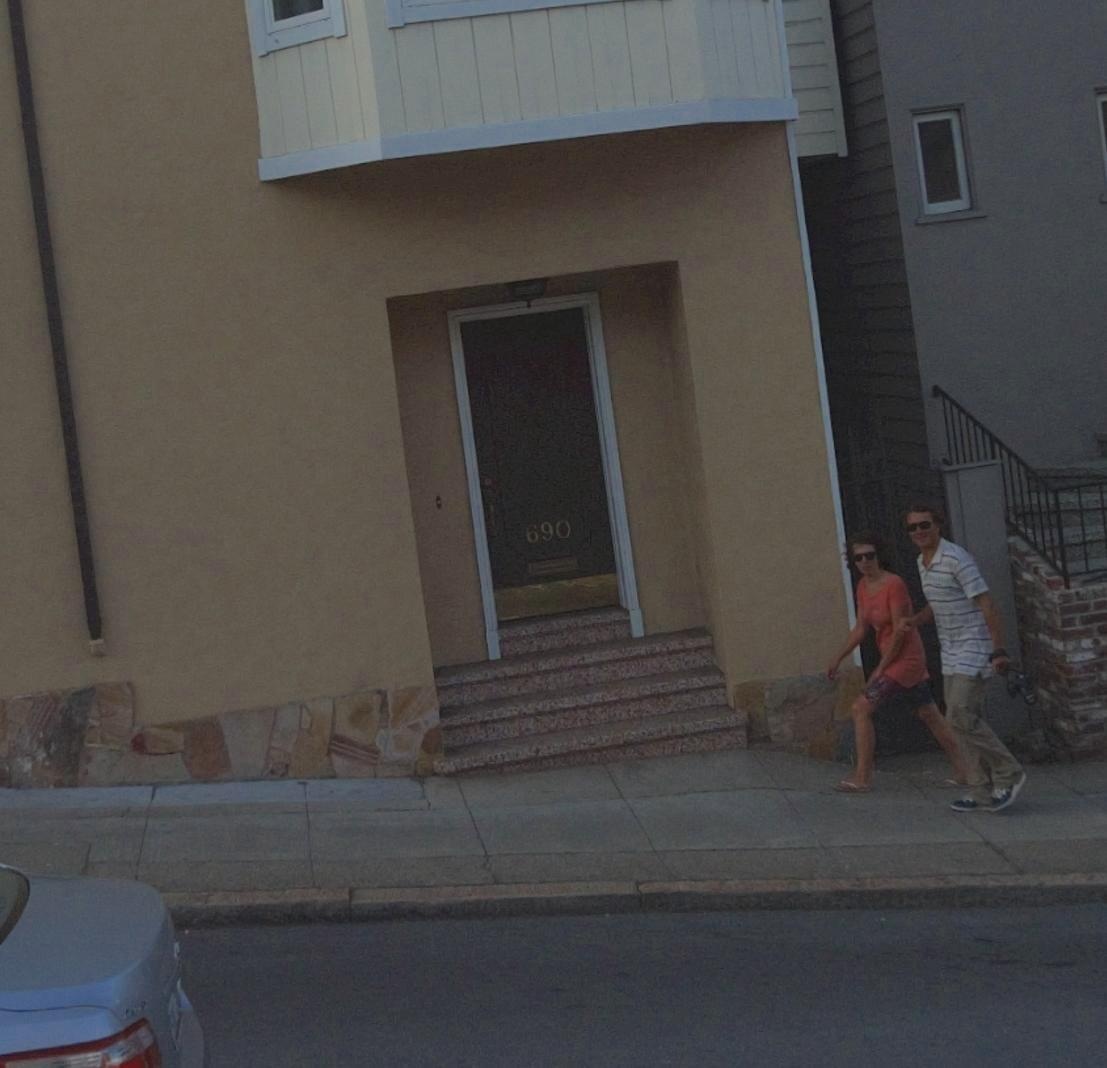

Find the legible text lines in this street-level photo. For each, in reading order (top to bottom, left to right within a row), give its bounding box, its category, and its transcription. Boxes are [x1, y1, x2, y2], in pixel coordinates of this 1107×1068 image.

[521, 516, 574, 546] StreetNumber: 690